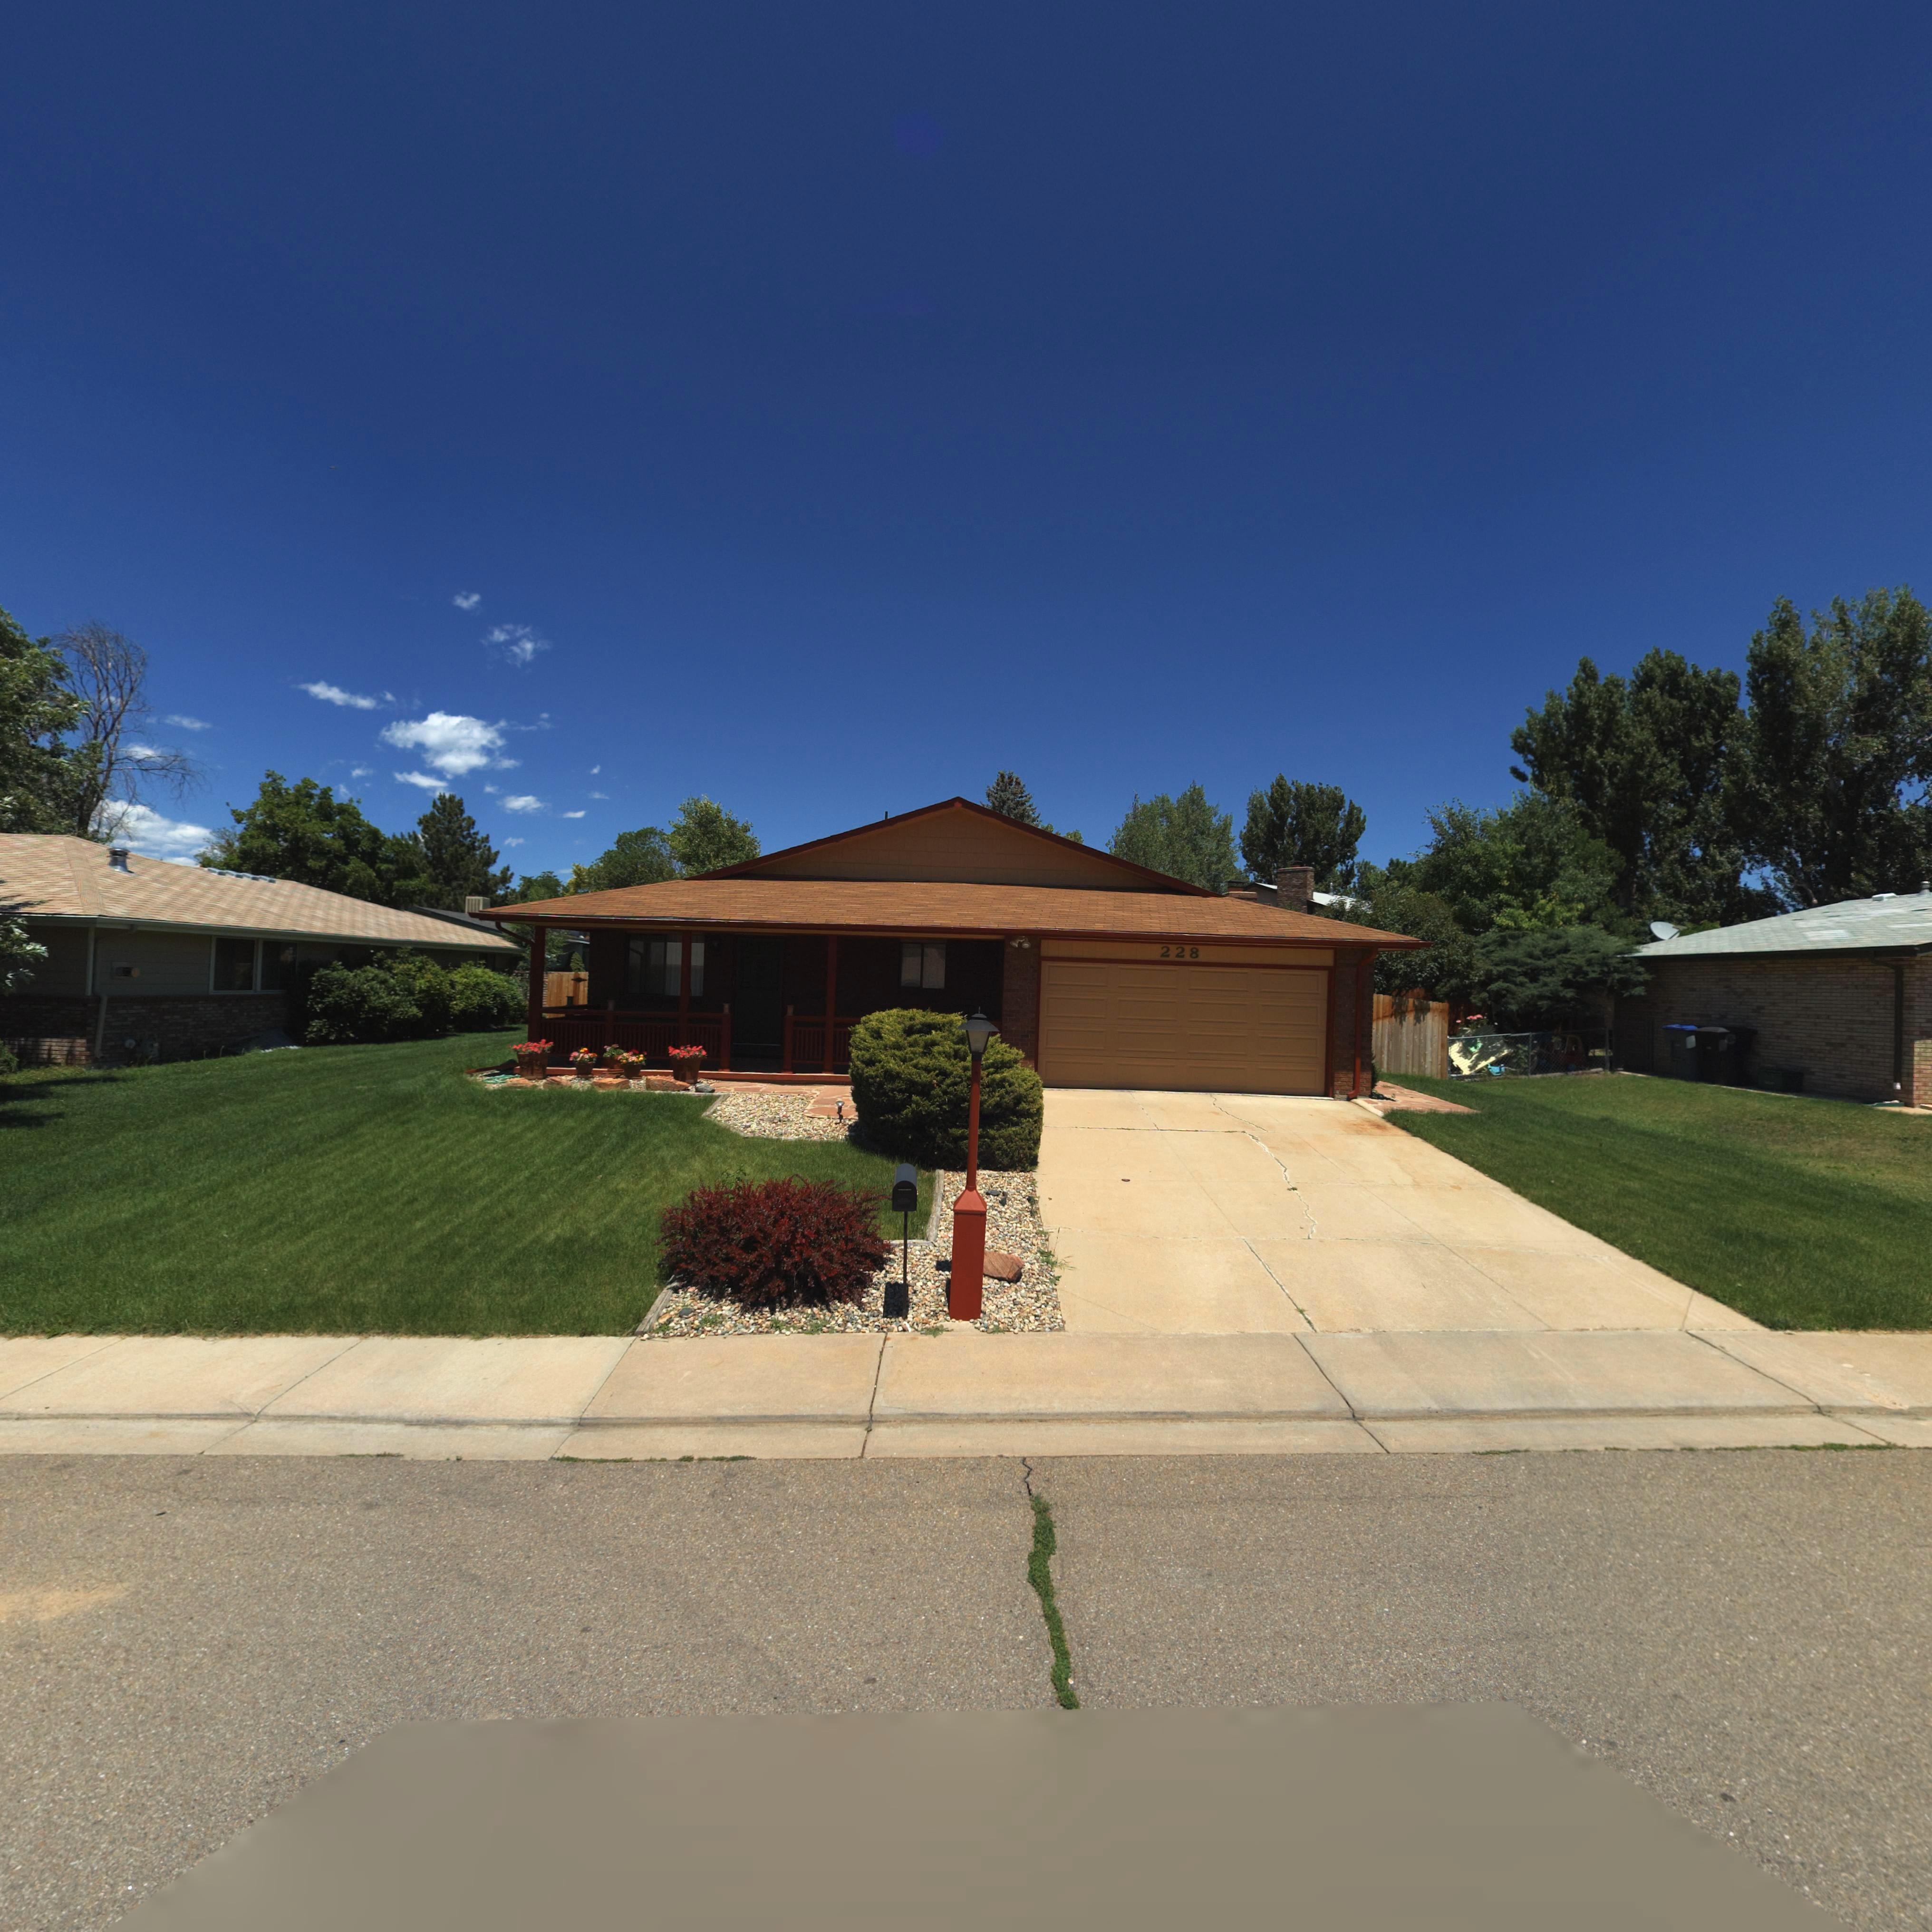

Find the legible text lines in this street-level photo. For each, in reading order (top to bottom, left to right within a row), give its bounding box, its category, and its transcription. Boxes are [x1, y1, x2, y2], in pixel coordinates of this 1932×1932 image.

[1159, 946, 1199, 959] StreetNumber: 228